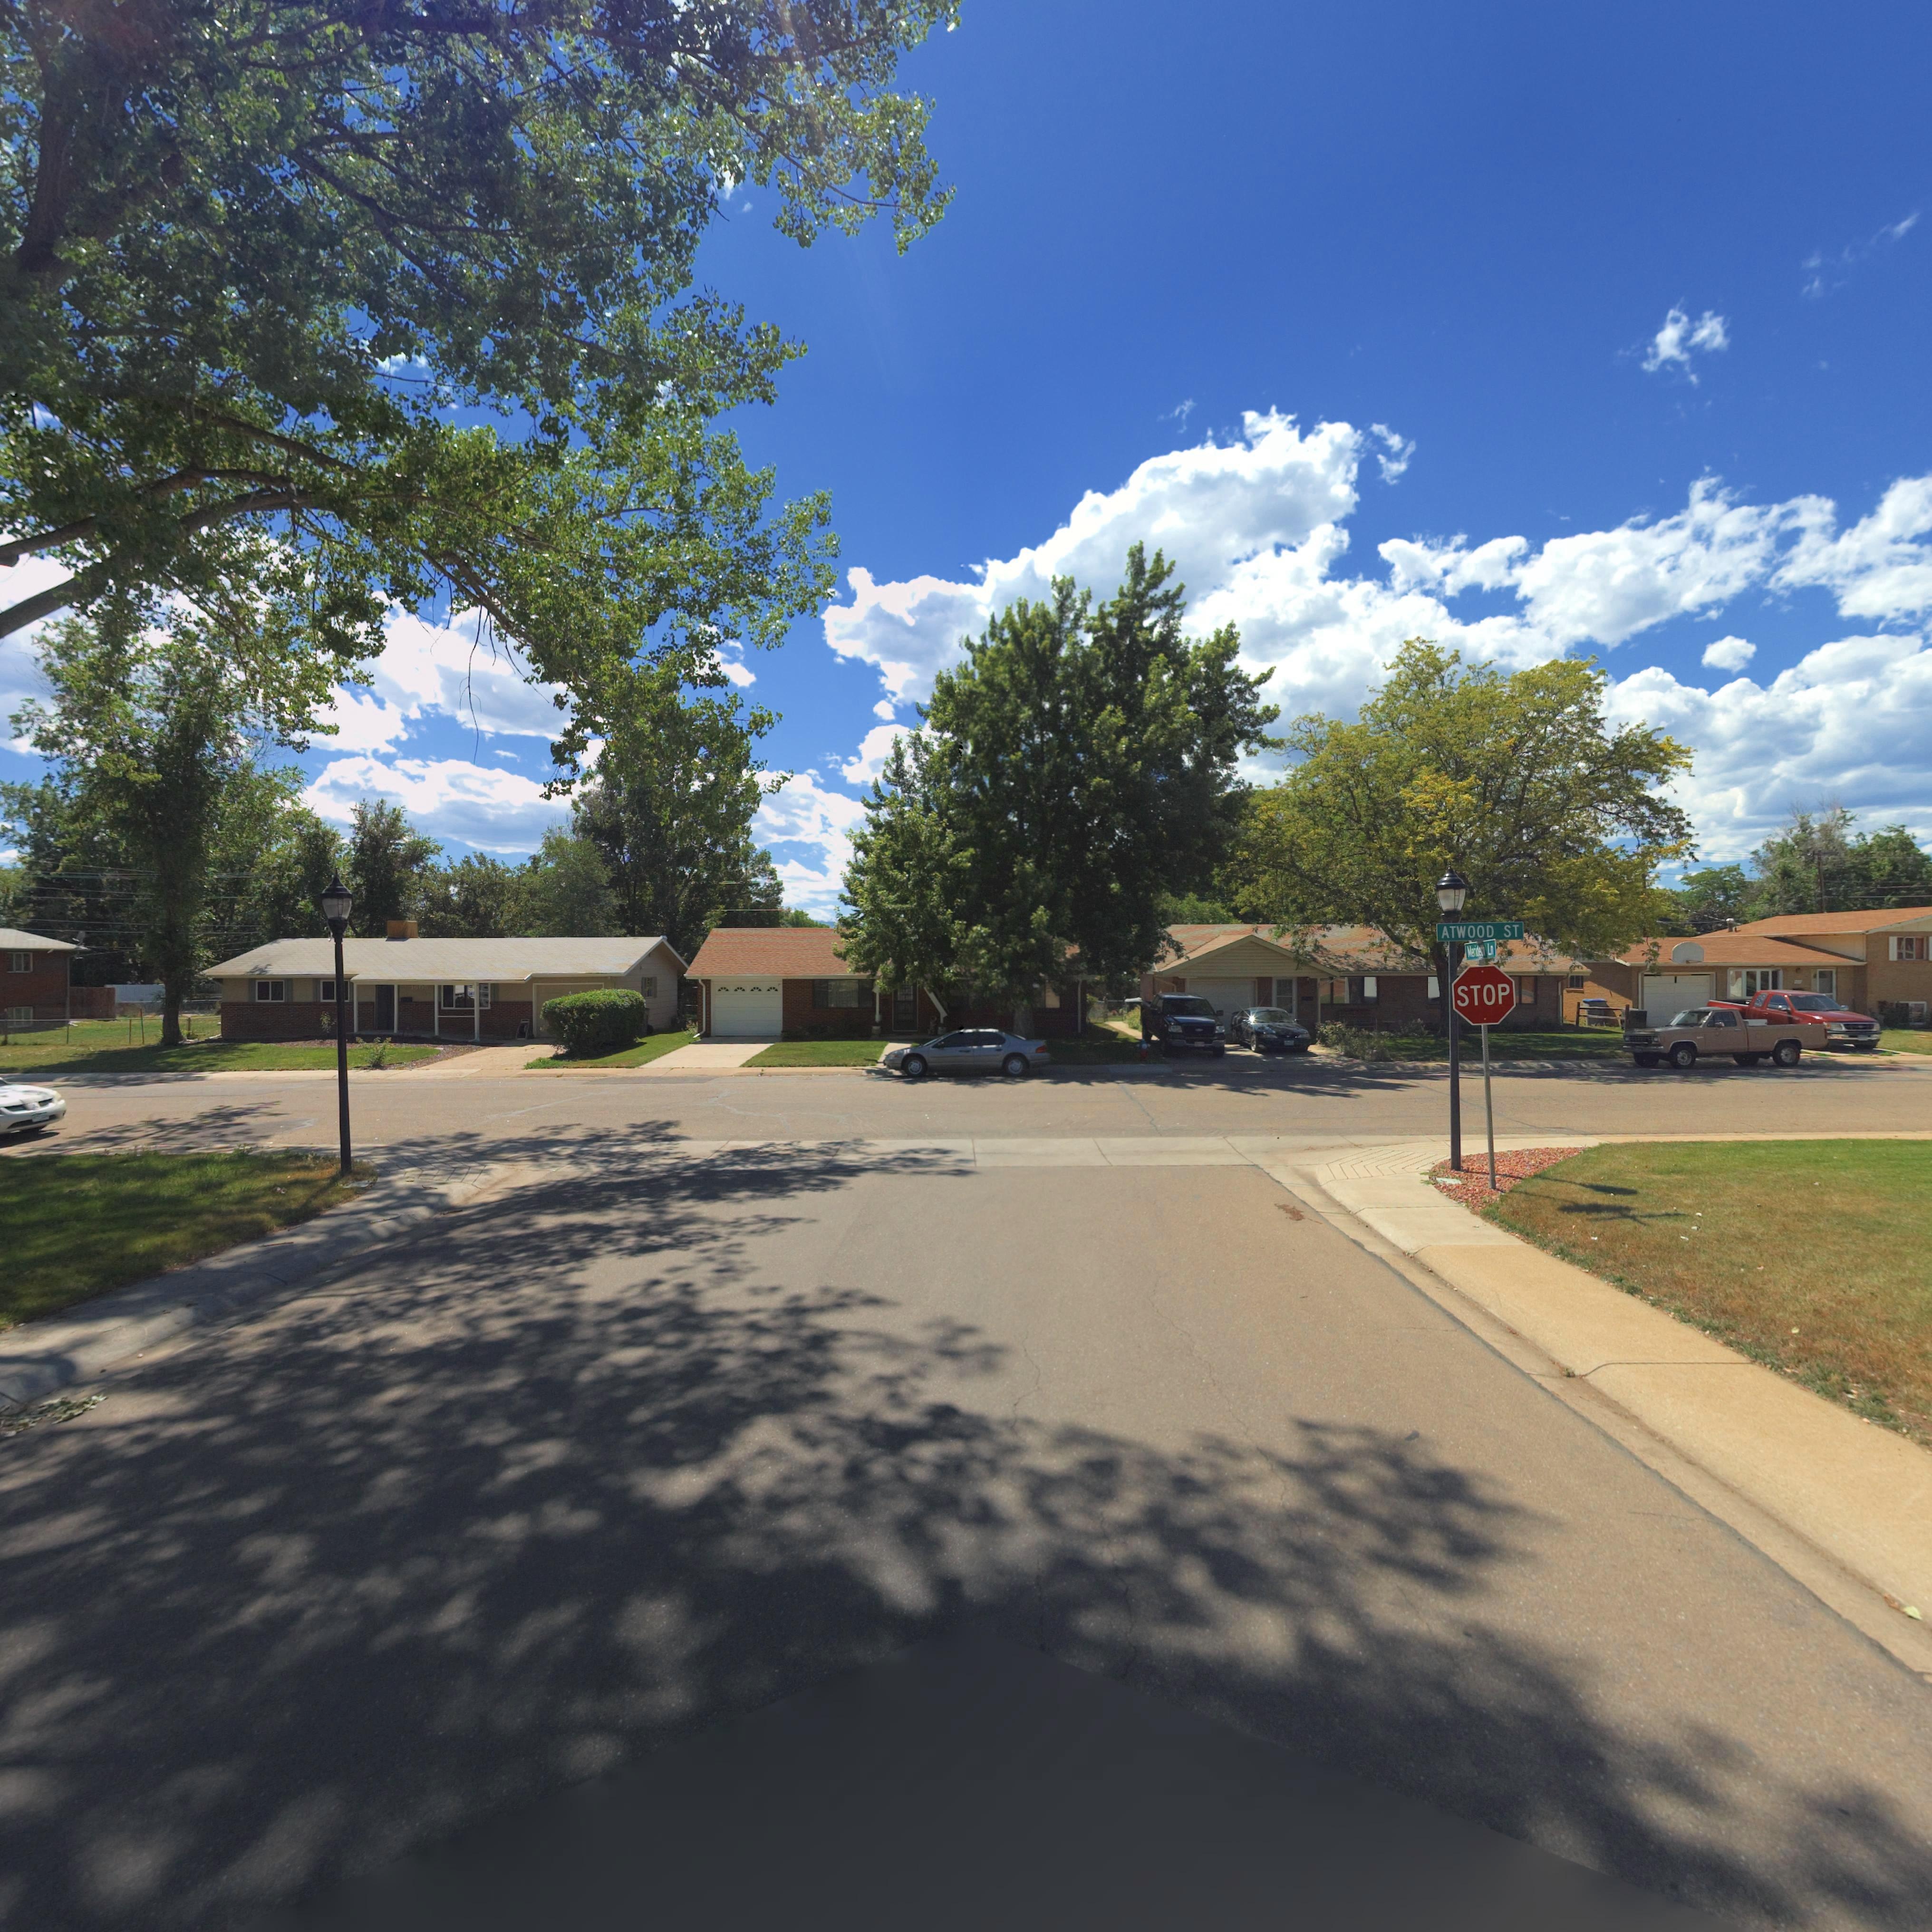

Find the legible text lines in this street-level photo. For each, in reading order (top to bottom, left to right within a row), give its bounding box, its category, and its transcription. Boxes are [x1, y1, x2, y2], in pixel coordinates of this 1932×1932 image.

[1440, 924, 1519, 939] StreetName: ATWOOD ST
[1467, 943, 1494, 958] StreetName: M*rideth Ln
[411, 984, 429, 990] StreetNumber: 1605